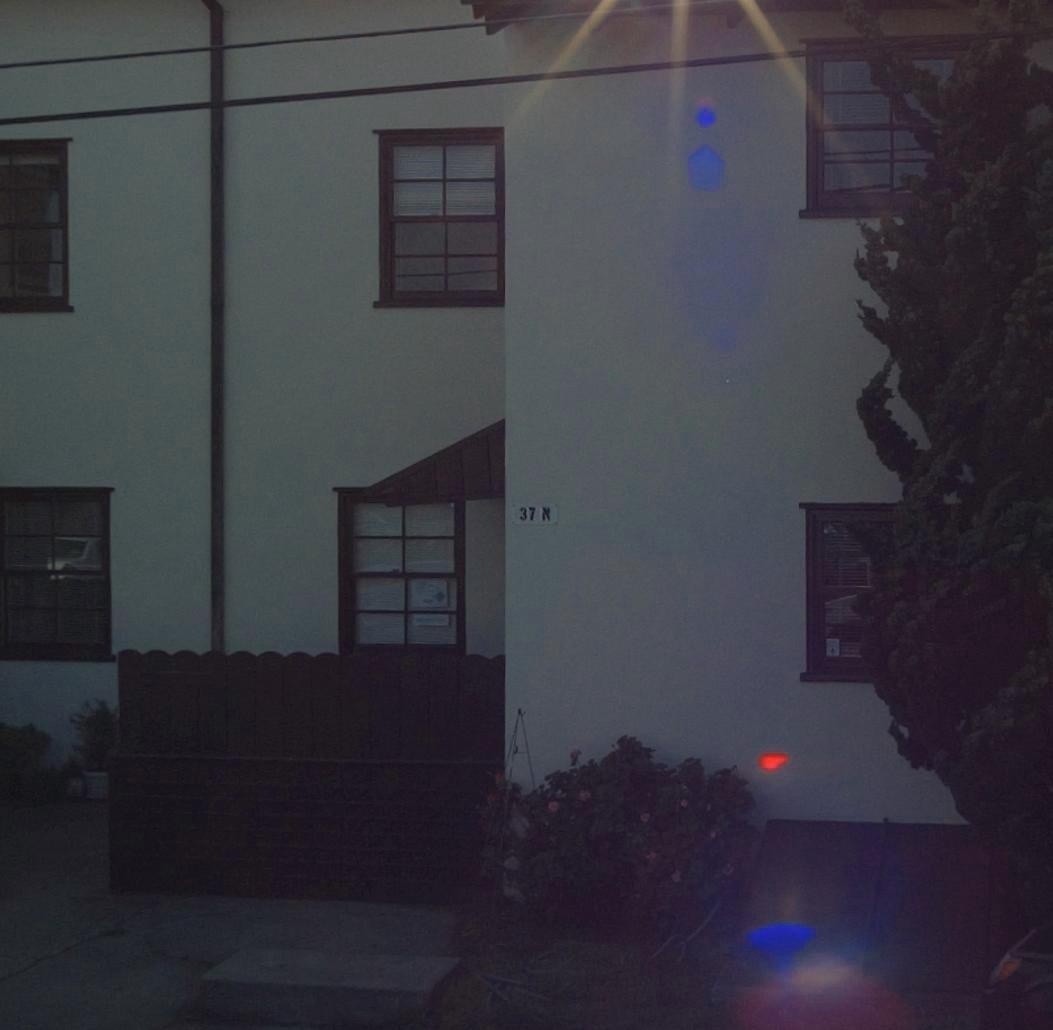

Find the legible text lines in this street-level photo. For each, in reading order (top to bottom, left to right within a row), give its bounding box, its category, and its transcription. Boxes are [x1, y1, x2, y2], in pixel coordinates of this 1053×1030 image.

[518, 504, 552, 524] StreetNumber: 37N